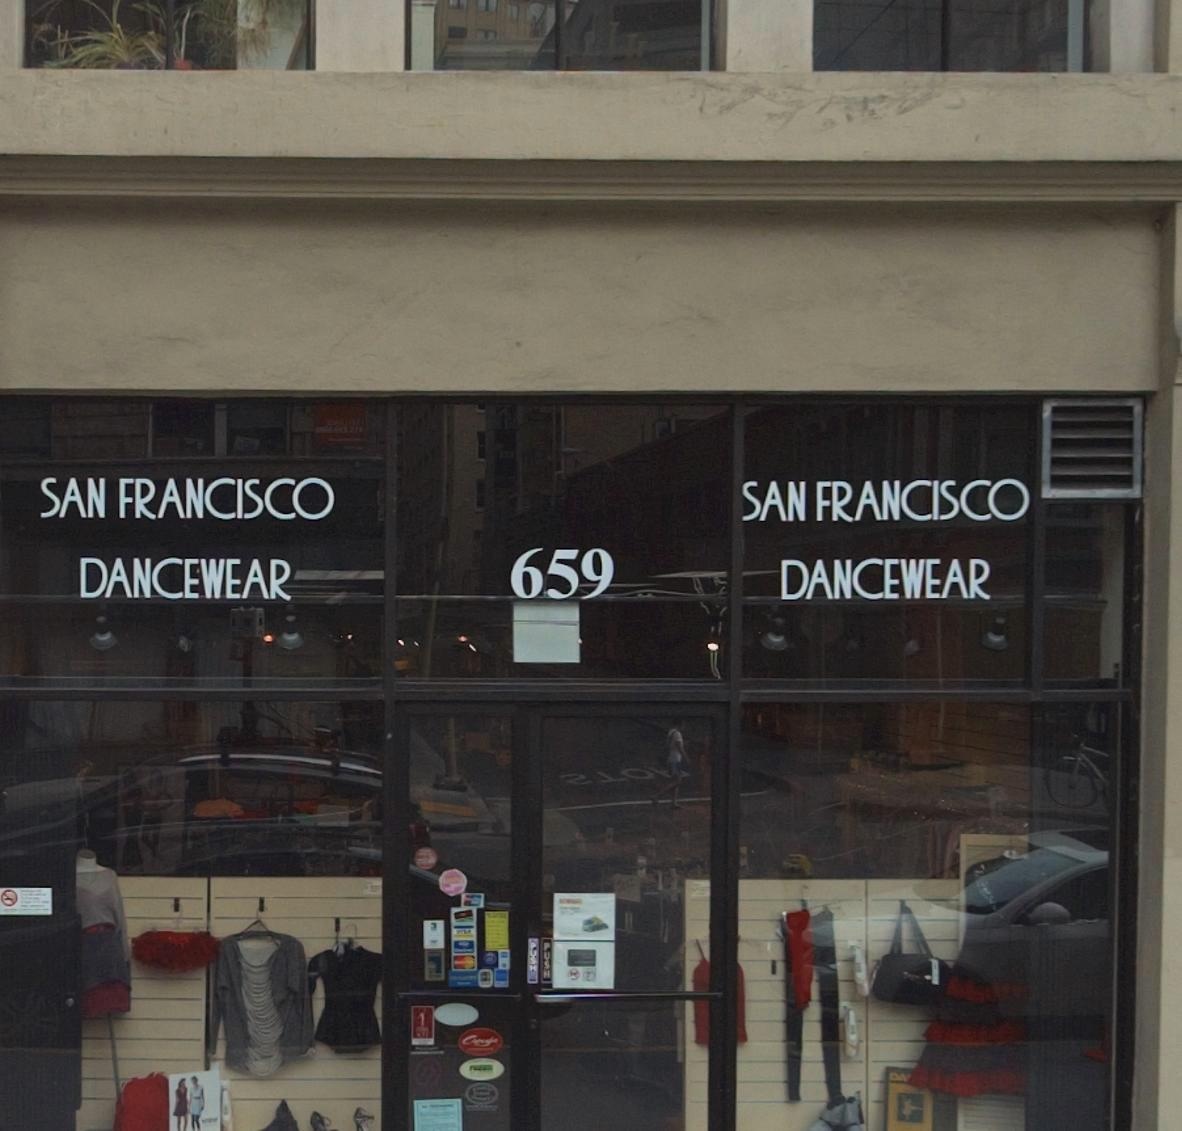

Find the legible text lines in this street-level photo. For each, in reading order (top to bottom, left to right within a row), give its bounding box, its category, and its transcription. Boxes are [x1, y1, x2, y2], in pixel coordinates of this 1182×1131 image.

[35, 471, 337, 523] BusinessName: SAN FRANCISCO
[738, 472, 1036, 527] BusinessName: SAN FRANCISCO
[77, 553, 295, 603] BusinessName: DANCEWEAR
[507, 546, 617, 602] StreetNumber: 659
[777, 553, 995, 605] BusinessName: DANCEWEAR
[552, 765, 660, 788] None: **O
[527, 940, 540, 974] None: PUSH
[541, 939, 553, 981] None: PUSH